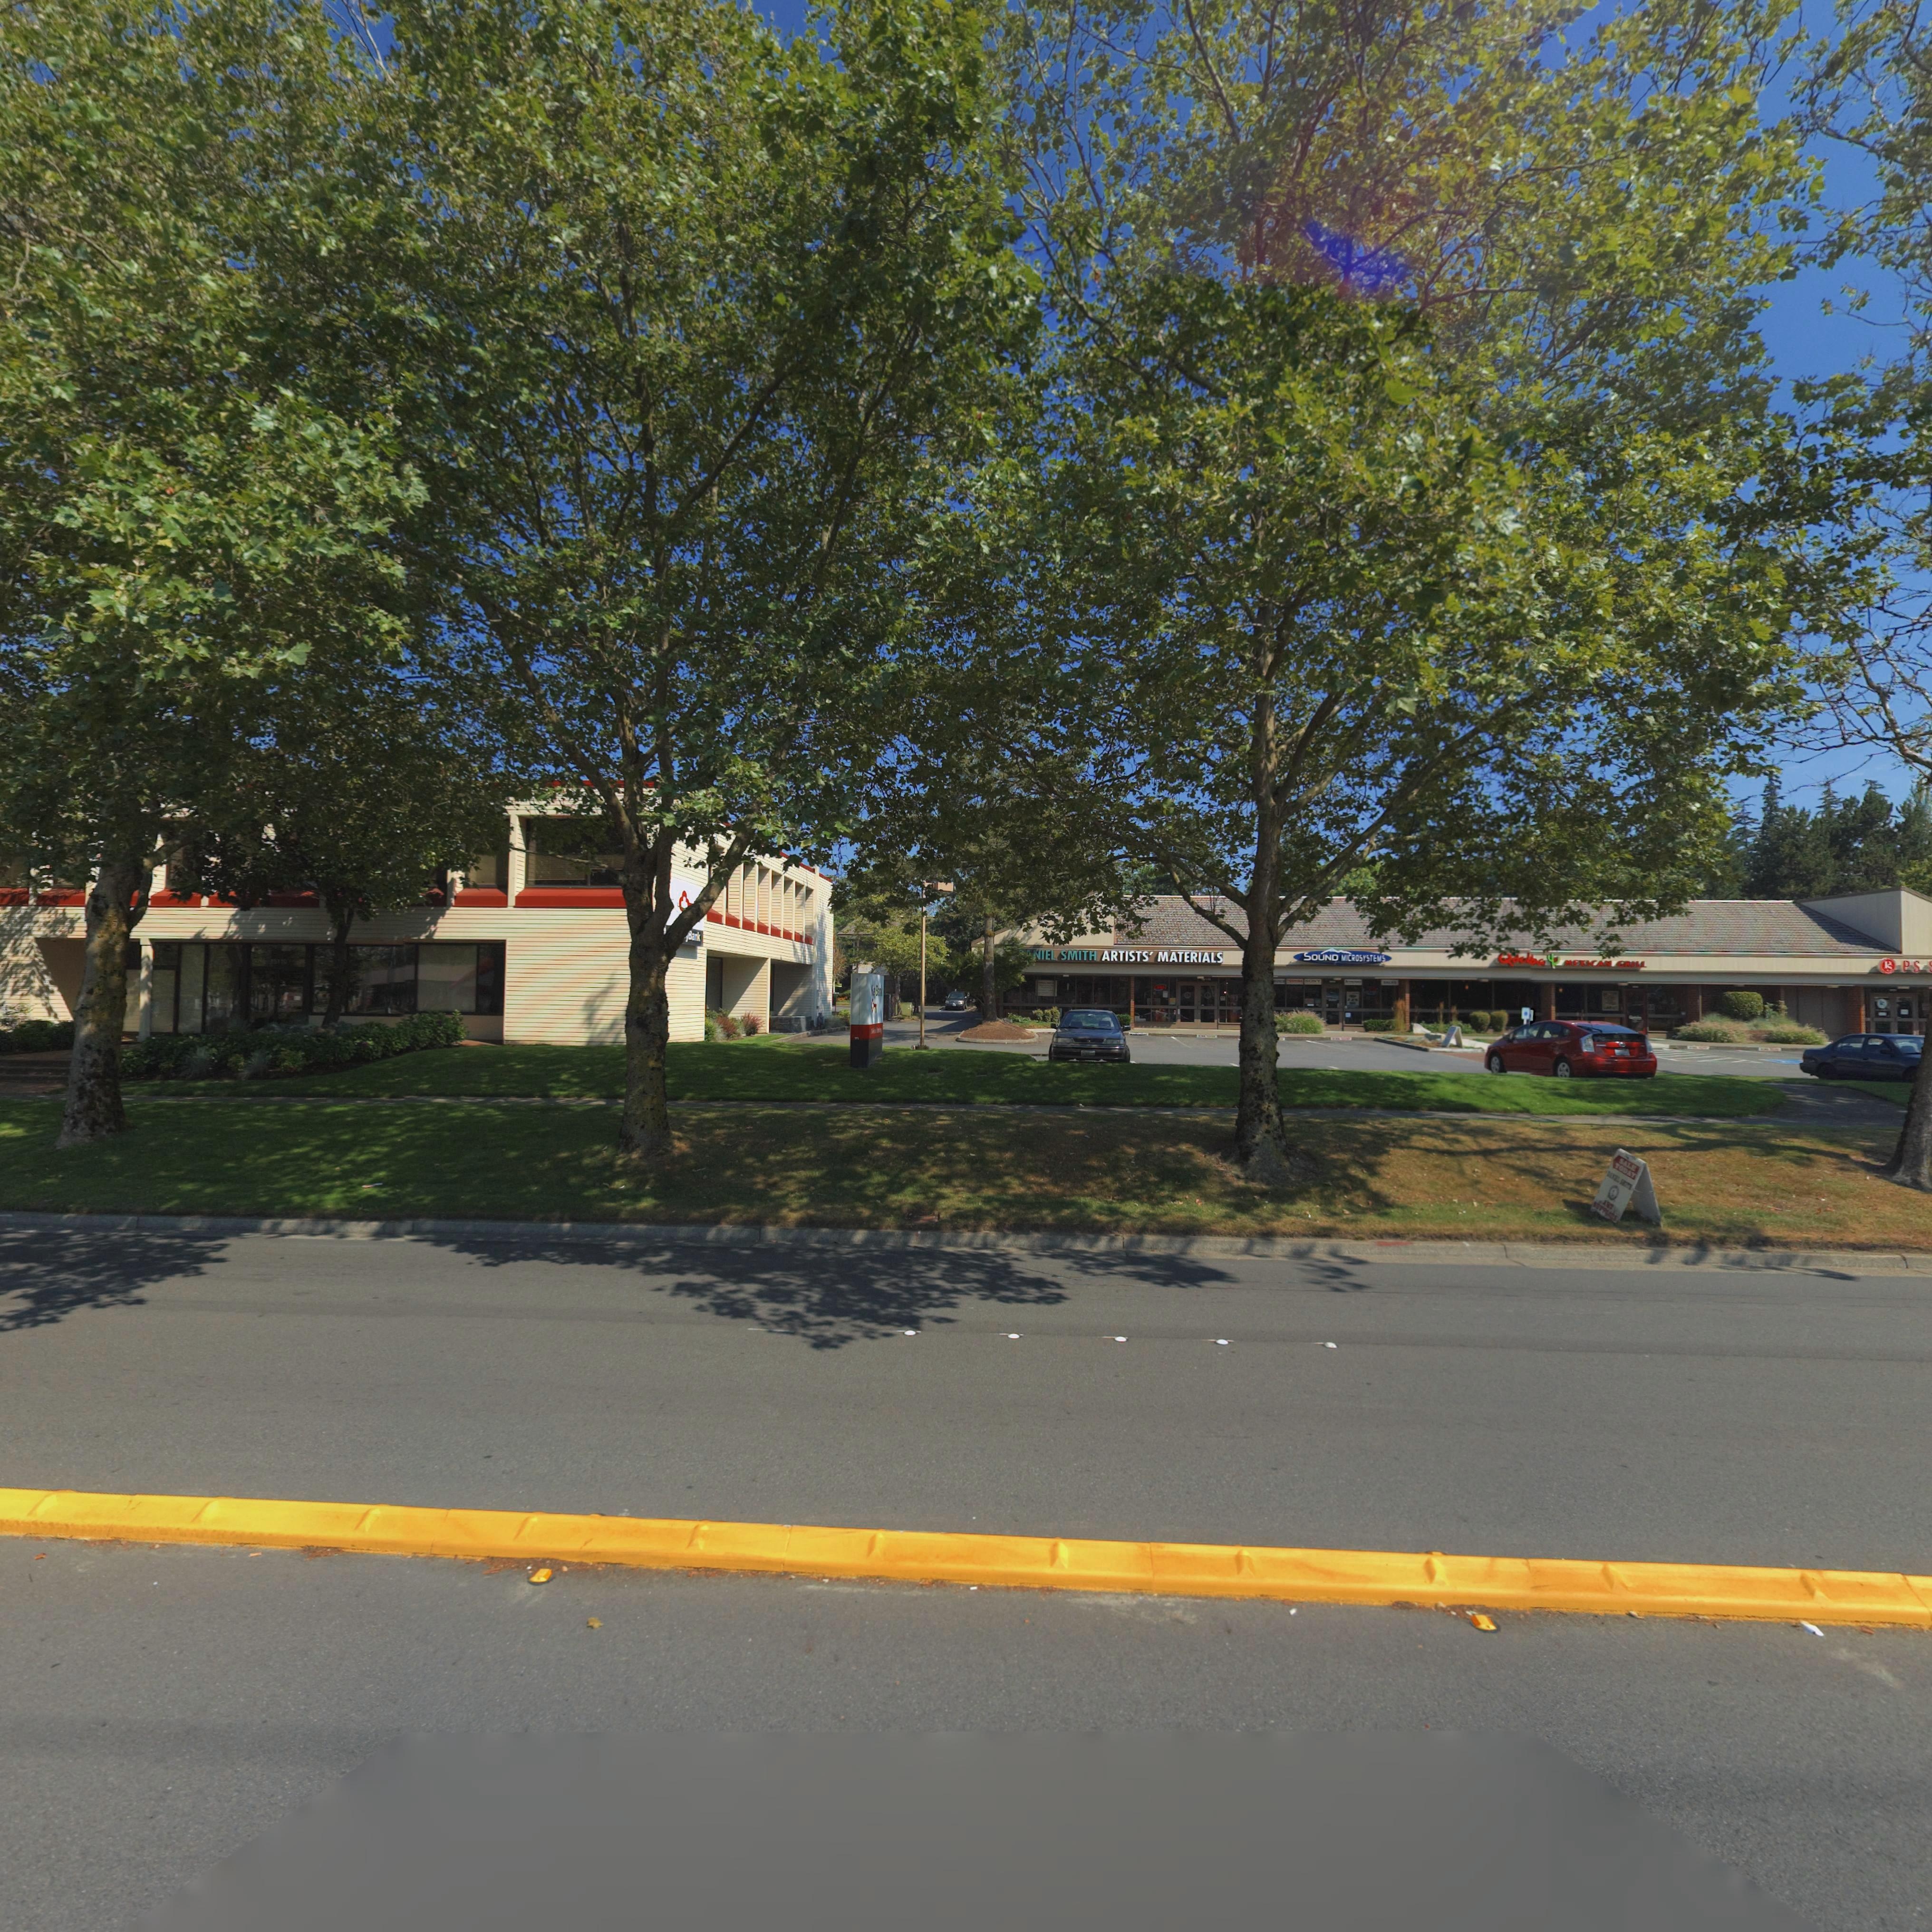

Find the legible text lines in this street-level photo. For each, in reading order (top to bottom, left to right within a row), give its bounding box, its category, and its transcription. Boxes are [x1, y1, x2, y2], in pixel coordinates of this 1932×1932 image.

[1102, 950, 1222, 962] BusinessName: ARTISTS MATERIALS
[1304, 951, 1386, 962] BusinessName: SOUND MICROSYSTEMS